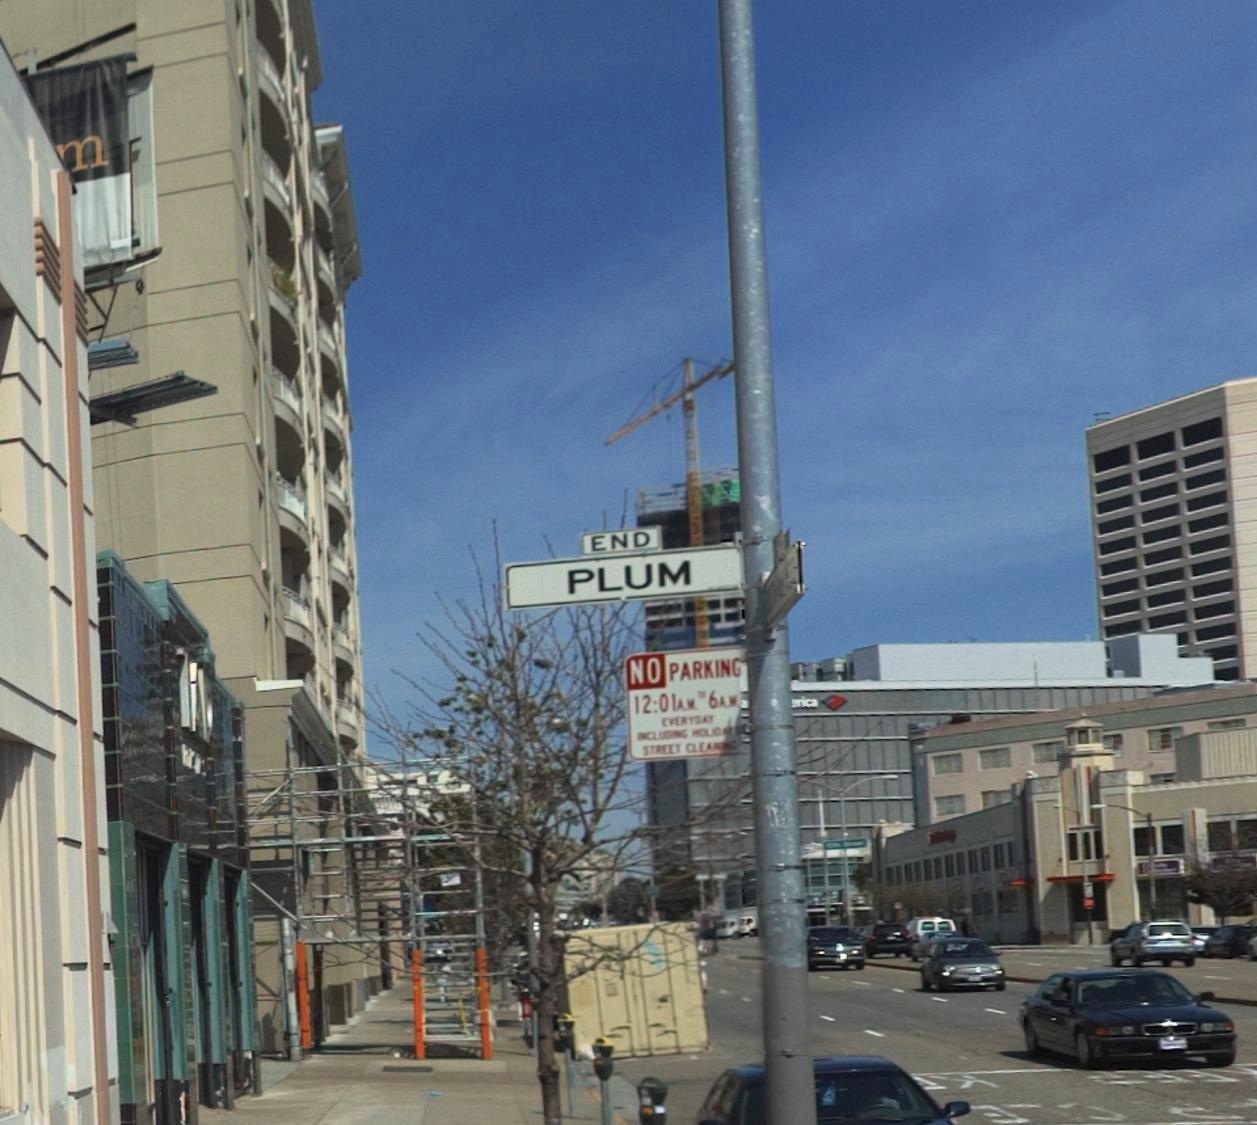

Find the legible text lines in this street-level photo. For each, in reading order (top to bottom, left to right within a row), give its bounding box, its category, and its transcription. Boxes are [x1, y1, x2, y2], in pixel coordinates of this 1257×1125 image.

[53, 133, 109, 175] None: M
[588, 529, 654, 551] None: END
[566, 558, 693, 596] StreetName: PLUM
[628, 651, 744, 686] None: NO PARKING
[633, 687, 741, 715] None: 12:01AM **6AM
[792, 697, 818, 708] None: *RICA
[661, 712, 716, 727] None: EVERYDAY
[641, 740, 741, 757] None: STREET CLEANING